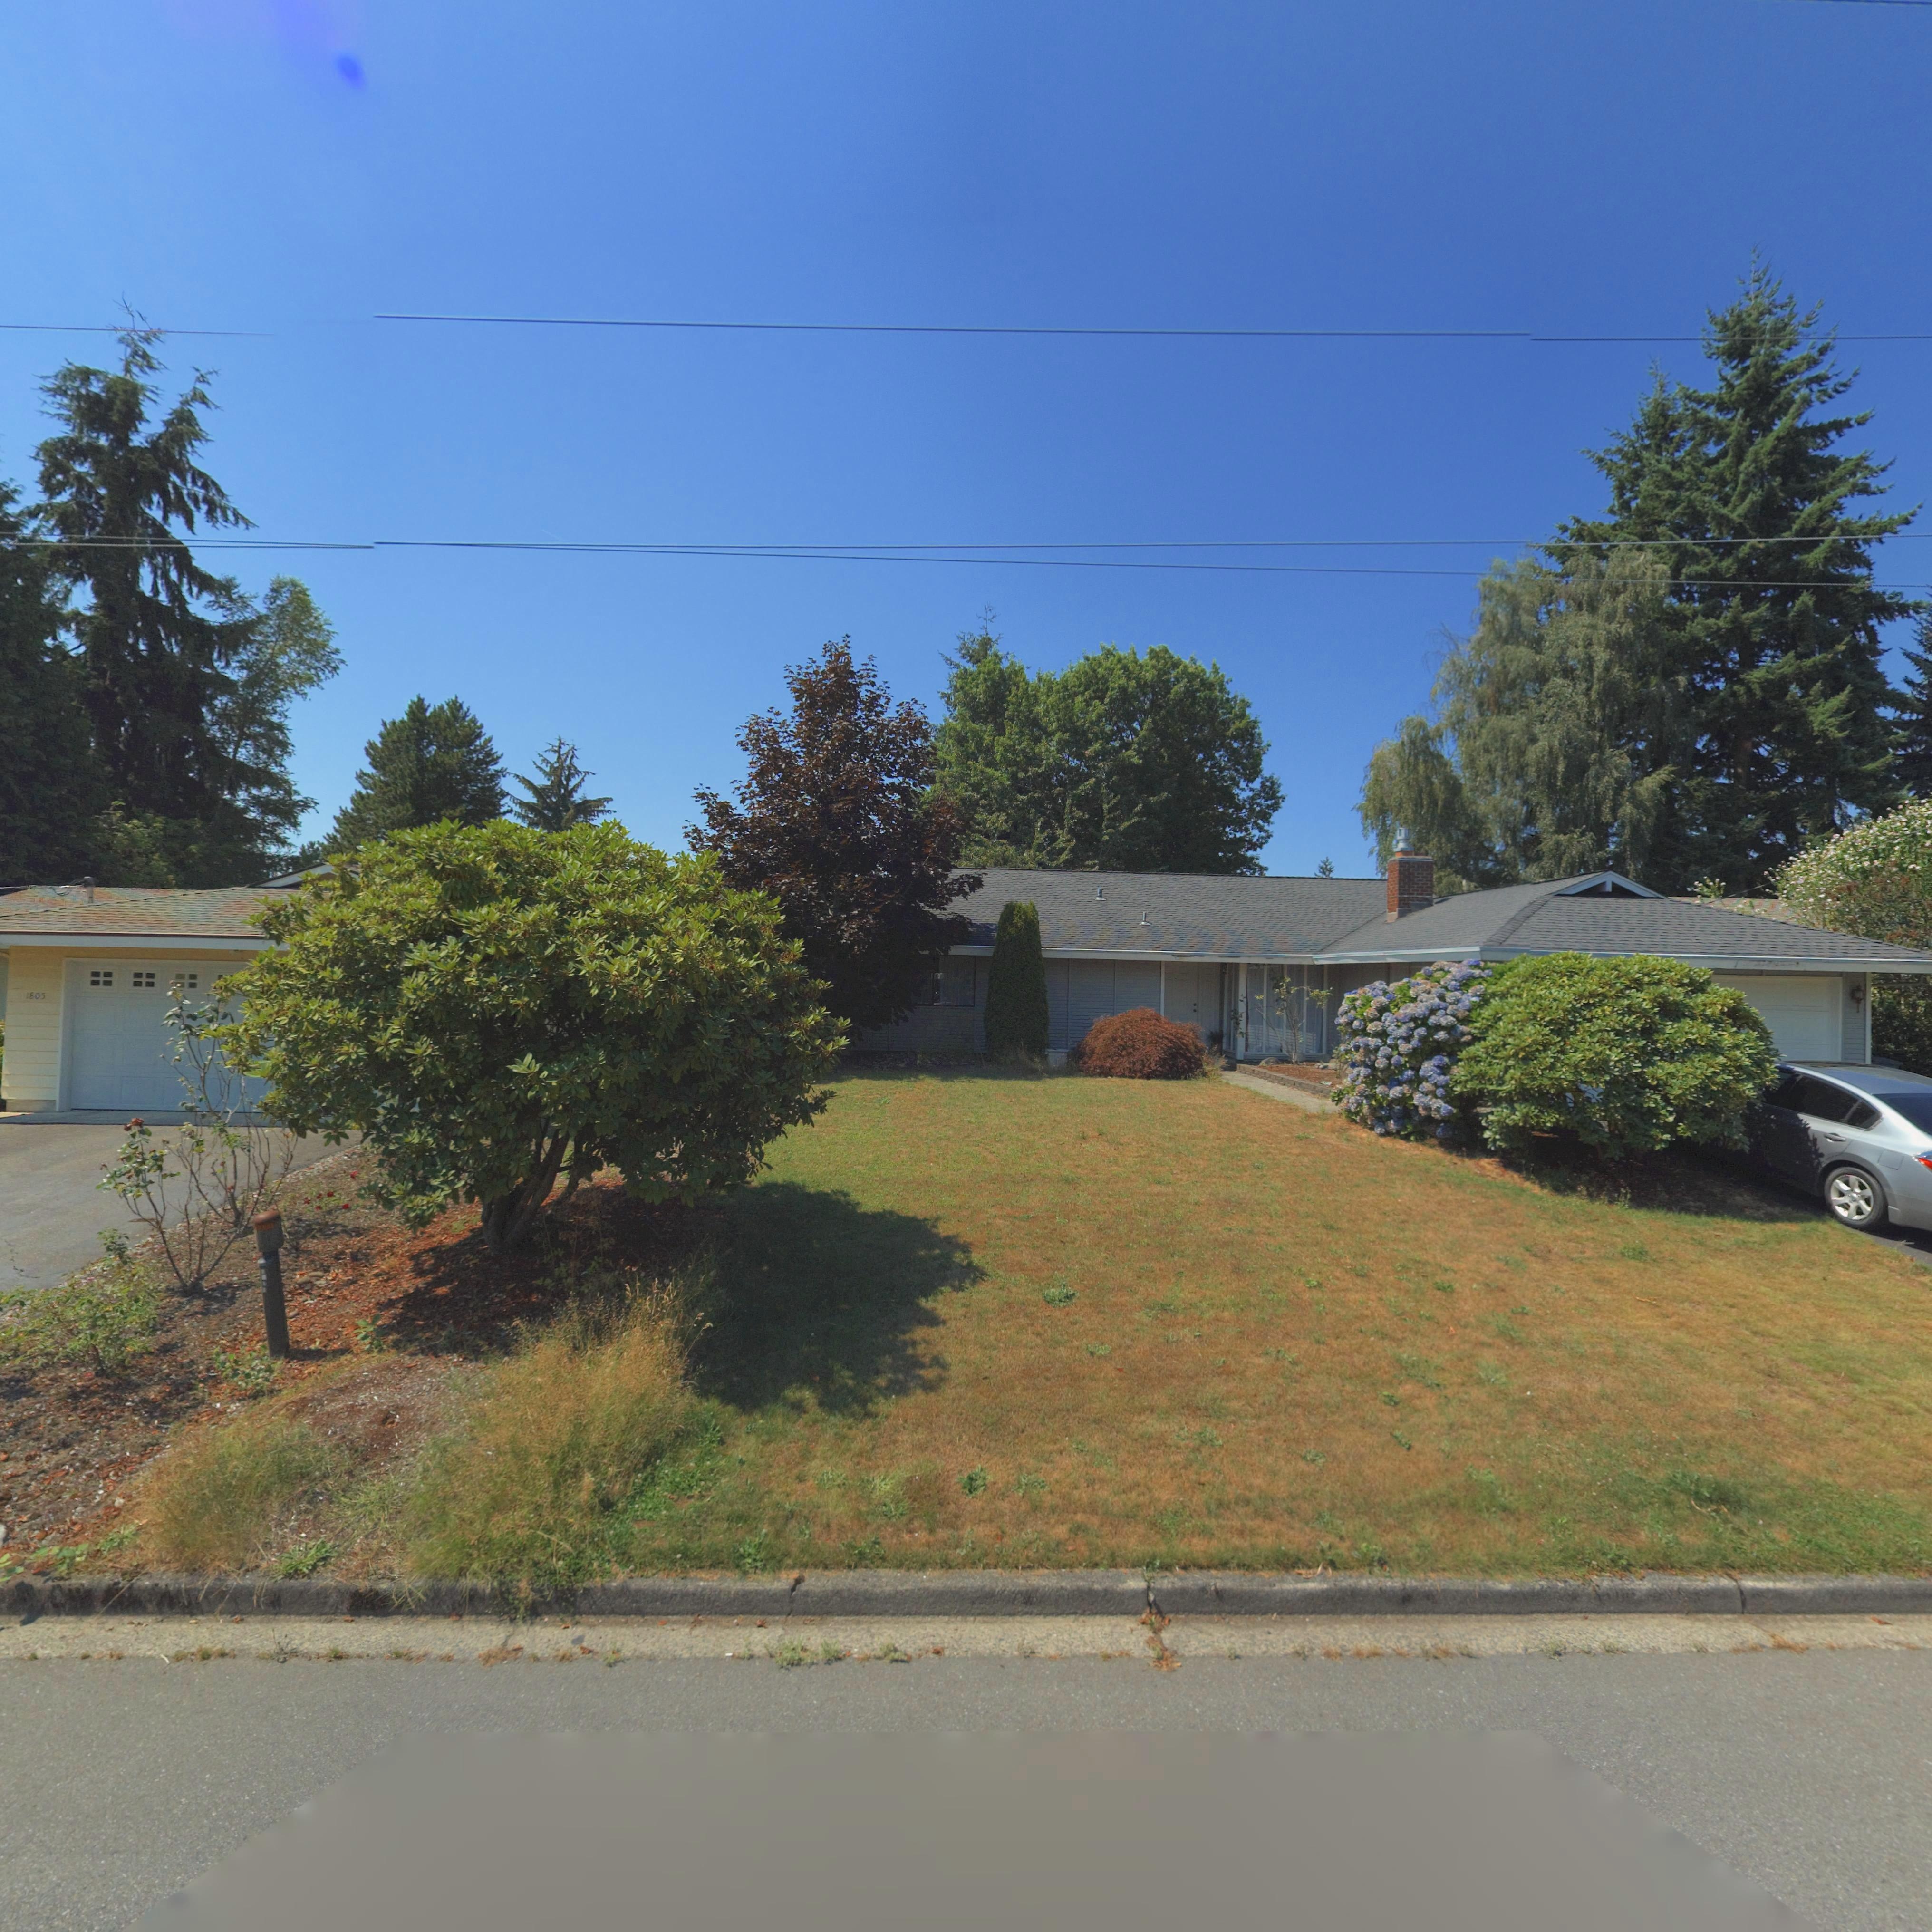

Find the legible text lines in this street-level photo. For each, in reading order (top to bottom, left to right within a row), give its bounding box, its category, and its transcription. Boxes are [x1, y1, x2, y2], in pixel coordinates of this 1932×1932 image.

[25, 991, 46, 1000] StreetNumber: 1805